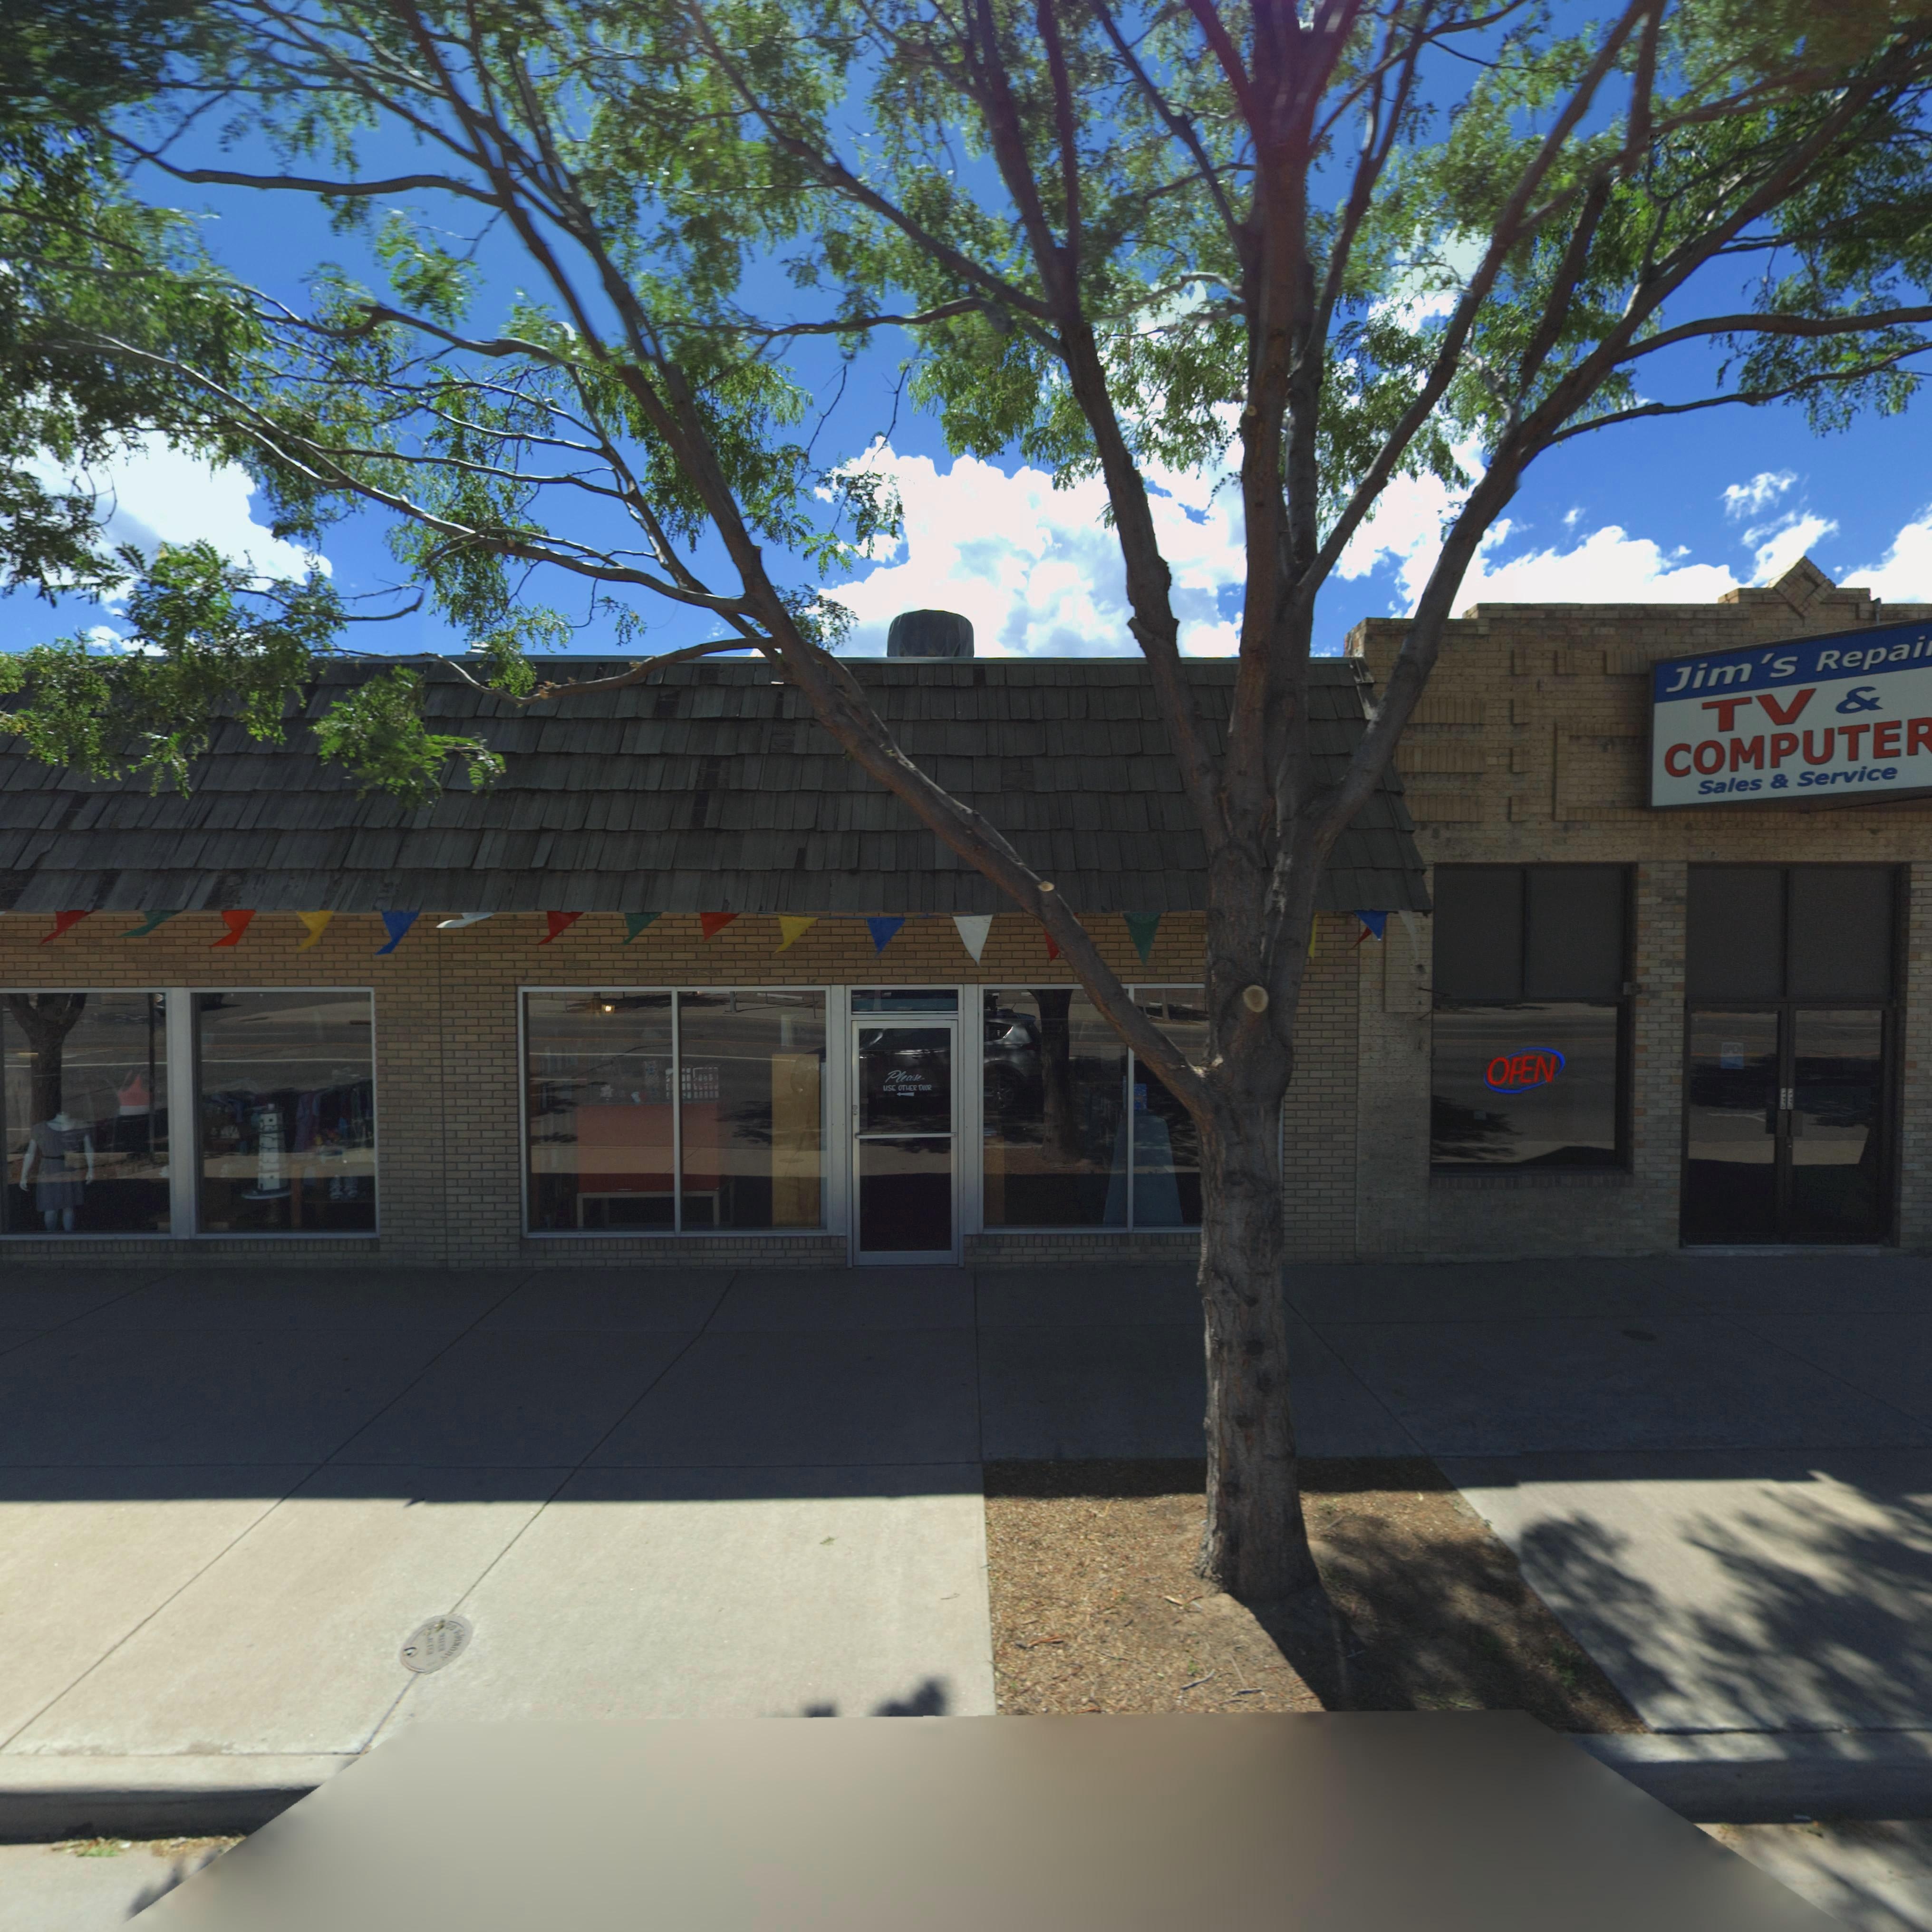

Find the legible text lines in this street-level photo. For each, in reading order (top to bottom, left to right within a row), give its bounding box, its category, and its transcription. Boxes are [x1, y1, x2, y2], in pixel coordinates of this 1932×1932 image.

[1665, 634, 1927, 693] BusinessName: Jim's Repai